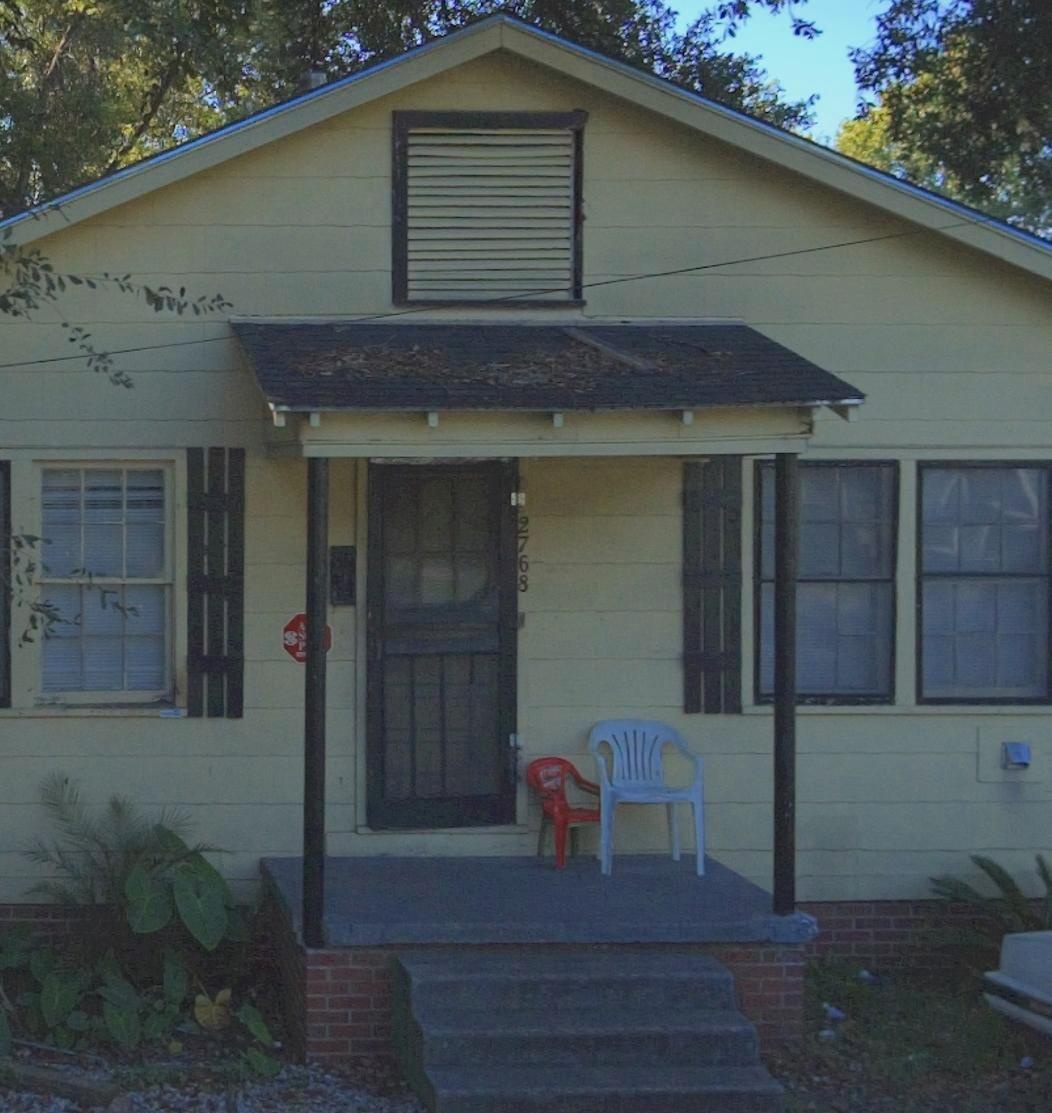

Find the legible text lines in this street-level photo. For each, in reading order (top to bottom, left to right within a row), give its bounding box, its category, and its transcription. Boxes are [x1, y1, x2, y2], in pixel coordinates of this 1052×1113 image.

[516, 513, 531, 594] StreetNumber: 2768
[282, 629, 299, 648] None: S